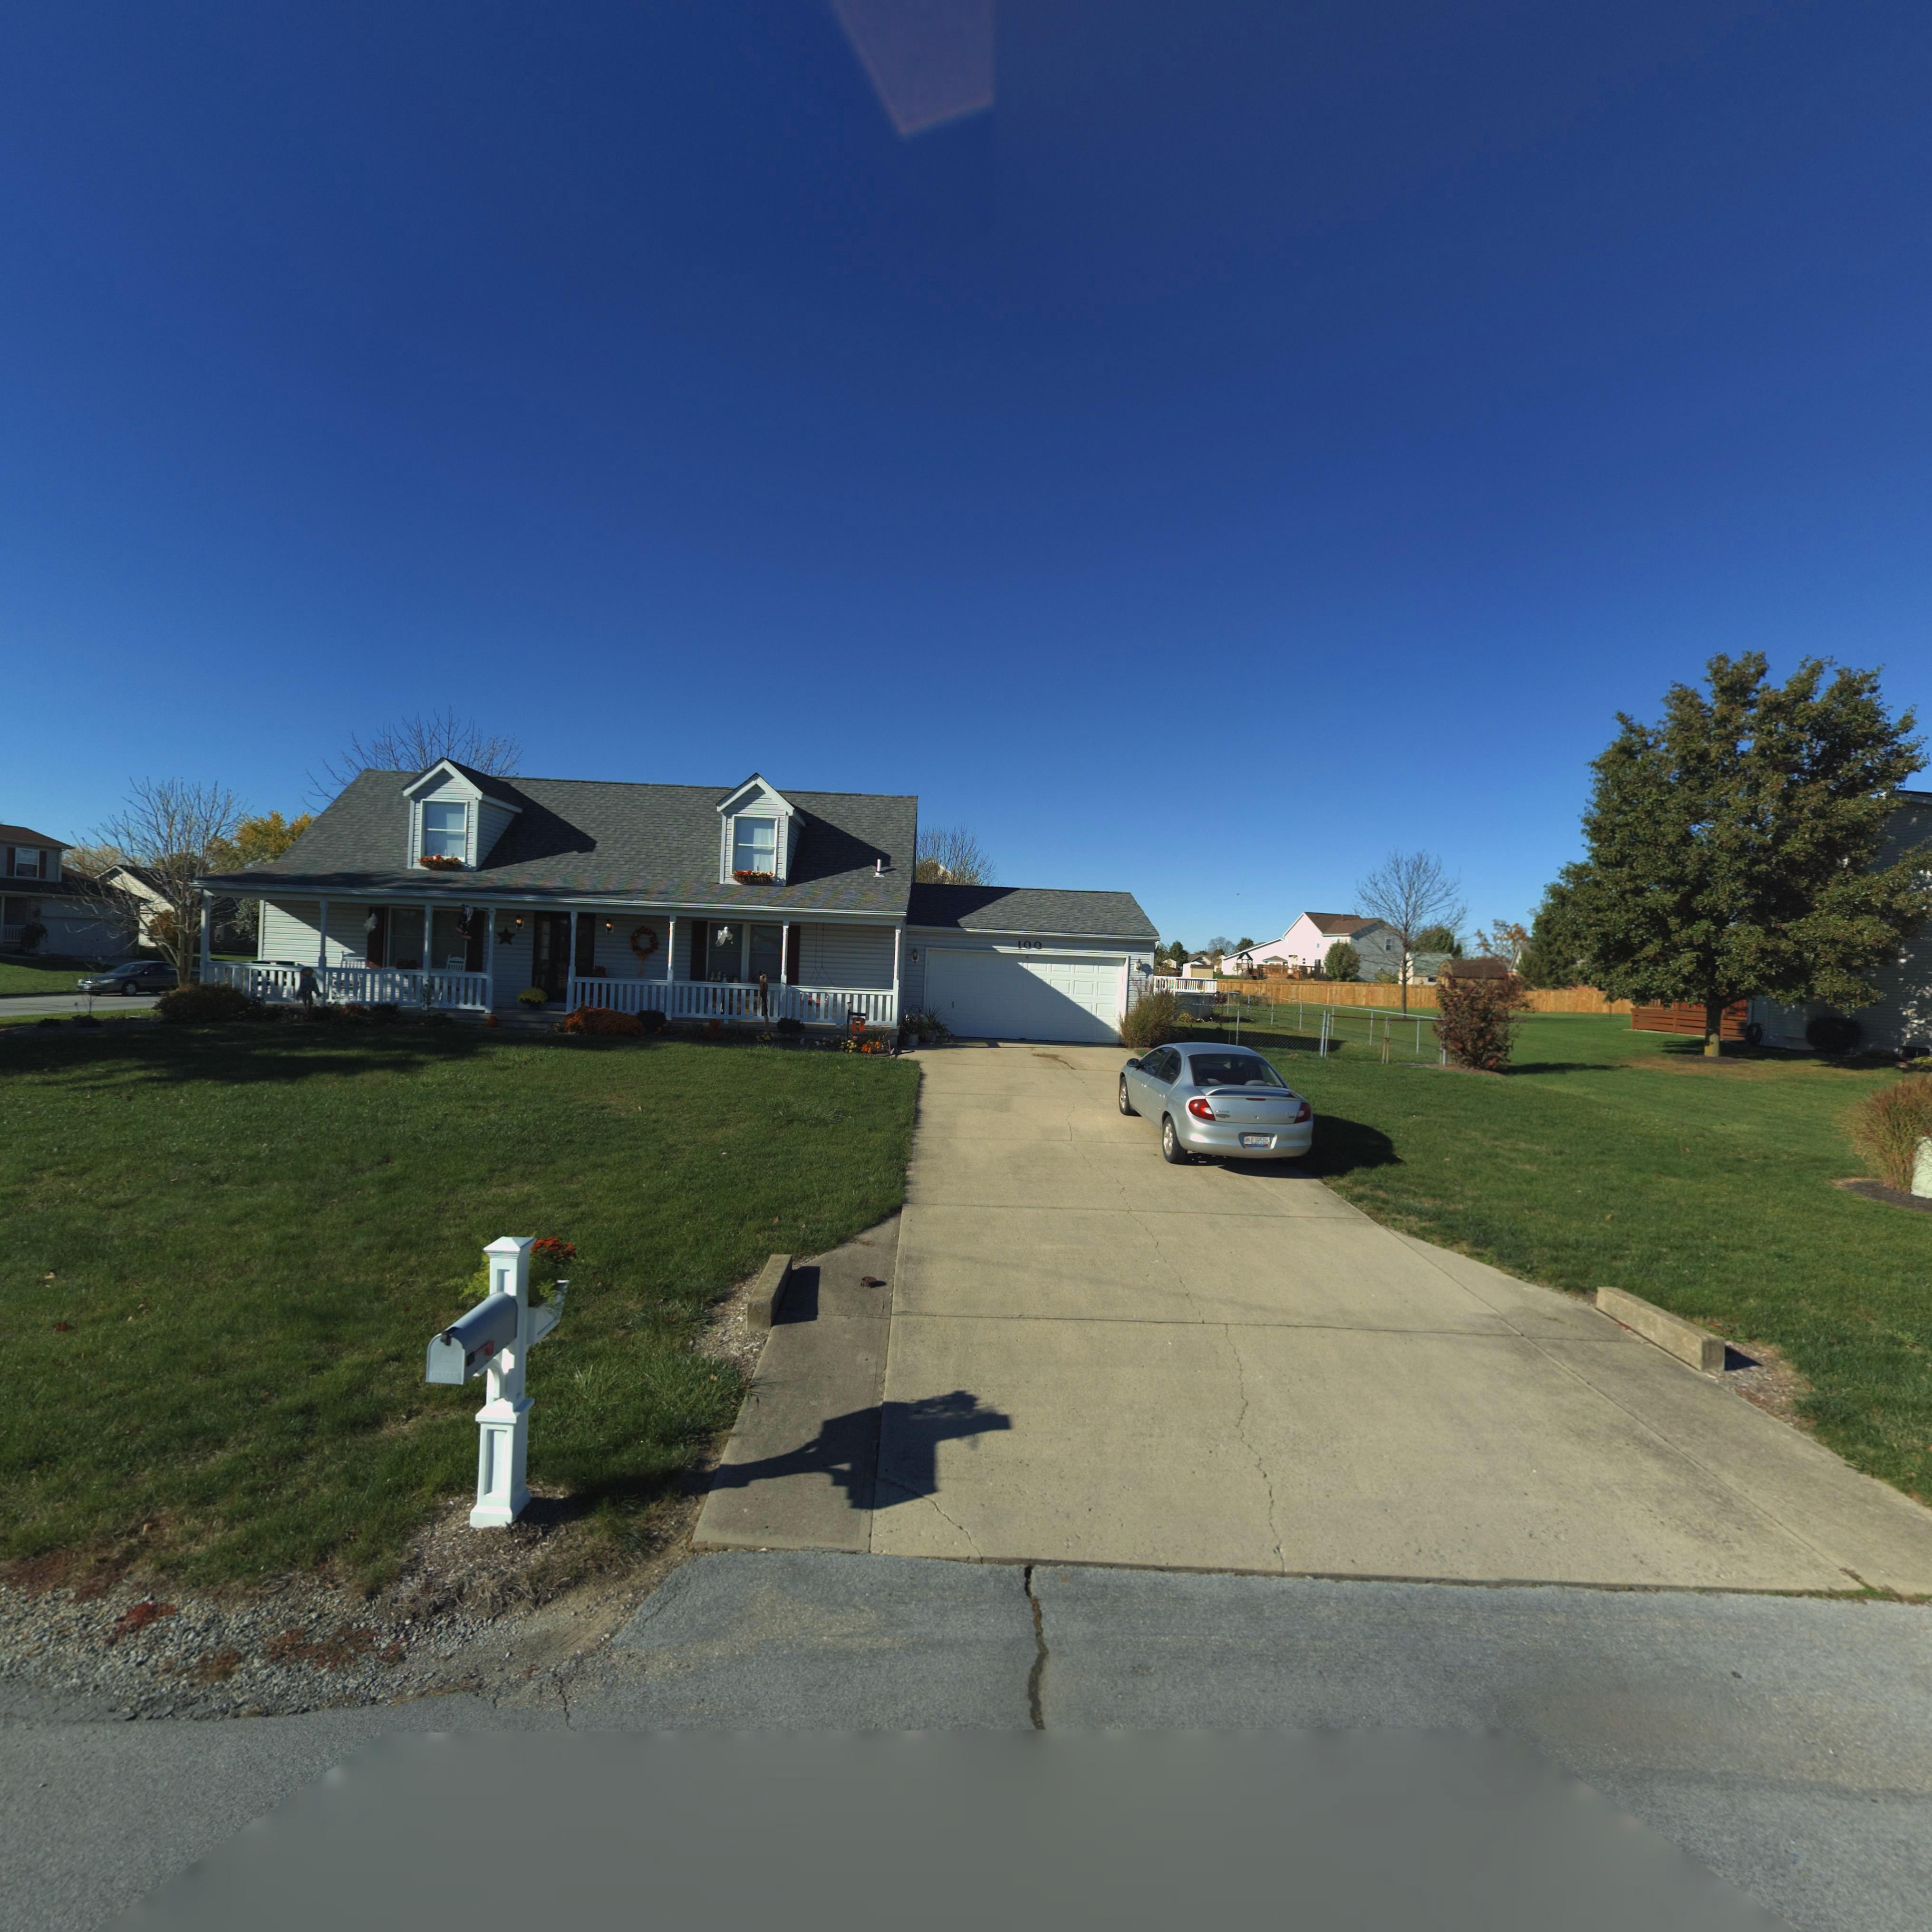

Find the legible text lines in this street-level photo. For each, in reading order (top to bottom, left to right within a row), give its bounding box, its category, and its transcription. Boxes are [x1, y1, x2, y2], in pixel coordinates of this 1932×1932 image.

[1017, 940, 1043, 950] StreetNumber: 100